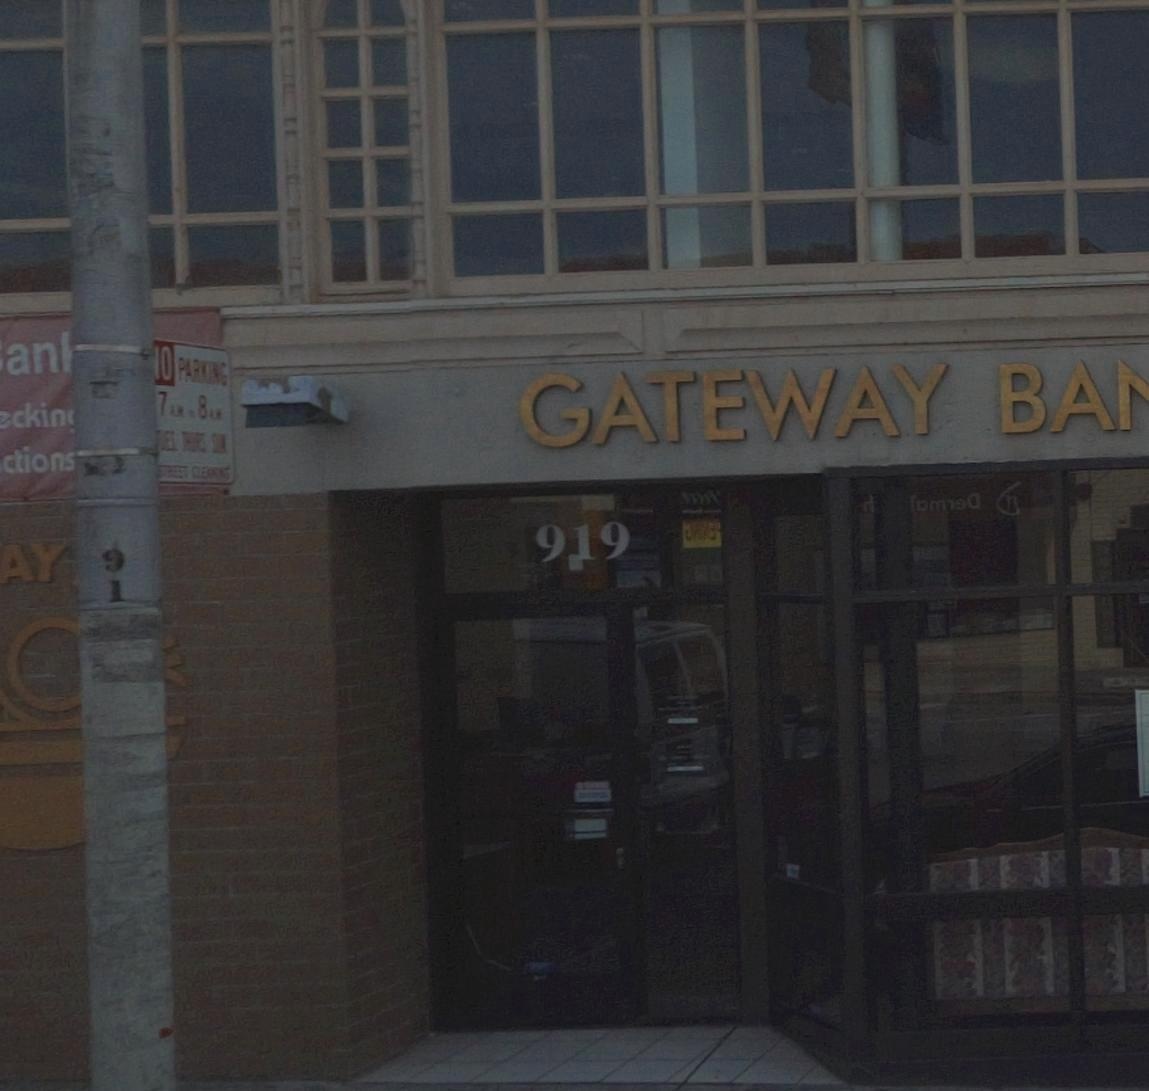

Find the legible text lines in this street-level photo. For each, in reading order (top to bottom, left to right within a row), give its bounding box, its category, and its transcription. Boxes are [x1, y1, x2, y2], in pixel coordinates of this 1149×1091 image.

[5, 341, 60, 376] None: an
[159, 344, 228, 388] None: O PARKING
[11, 400, 67, 430] None: ckin
[156, 390, 169, 417] None: 7
[197, 393, 208, 420] None: 8
[518, 357, 1119, 451] BusinessName: GATEWAY BA
[154, 429, 207, 454] None: TUES THURS
[2, 445, 76, 476] None: ctions
[156, 464, 231, 482] None: STREET CLEANING
[533, 518, 632, 564] StreetNumber: 919
[0, 541, 72, 587] None: AY
[100, 548, 128, 604] None: 91